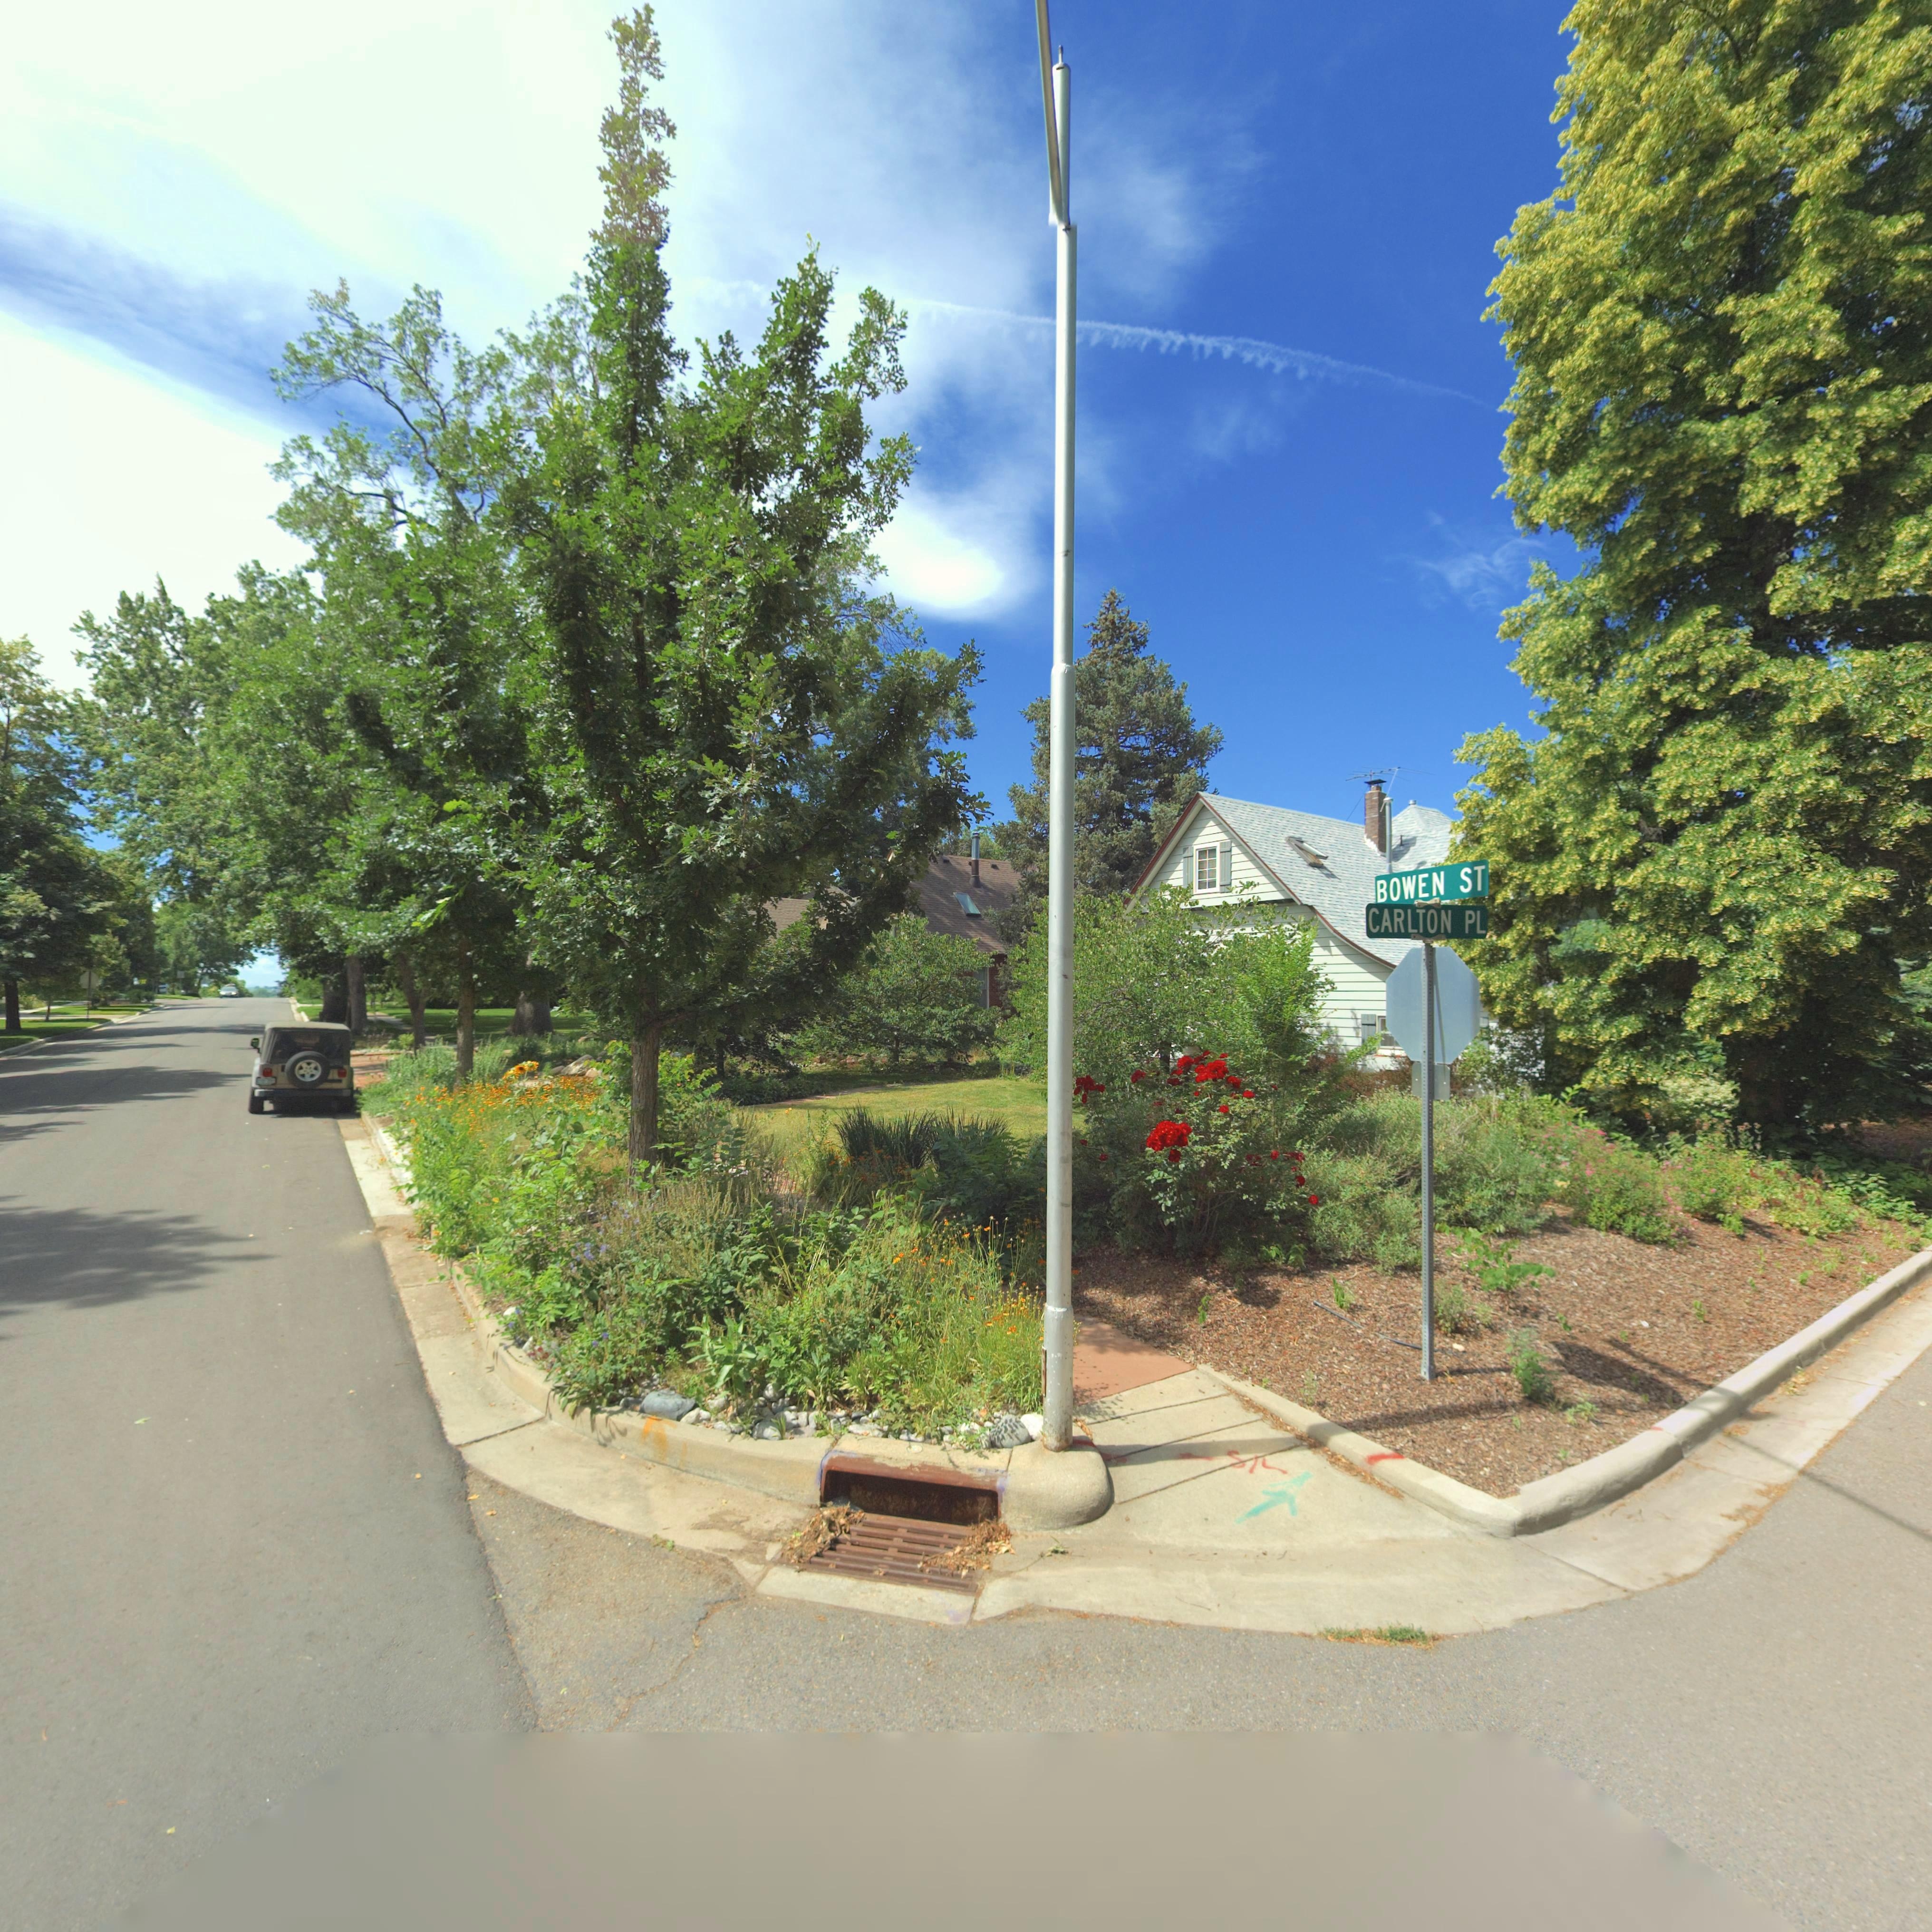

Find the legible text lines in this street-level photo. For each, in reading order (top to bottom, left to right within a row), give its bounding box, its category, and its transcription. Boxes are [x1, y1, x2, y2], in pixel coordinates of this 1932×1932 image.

[1376, 865, 1486, 903] StreetName: BOWEN ST
[1368, 907, 1486, 934] StreetName: CARLTON PL